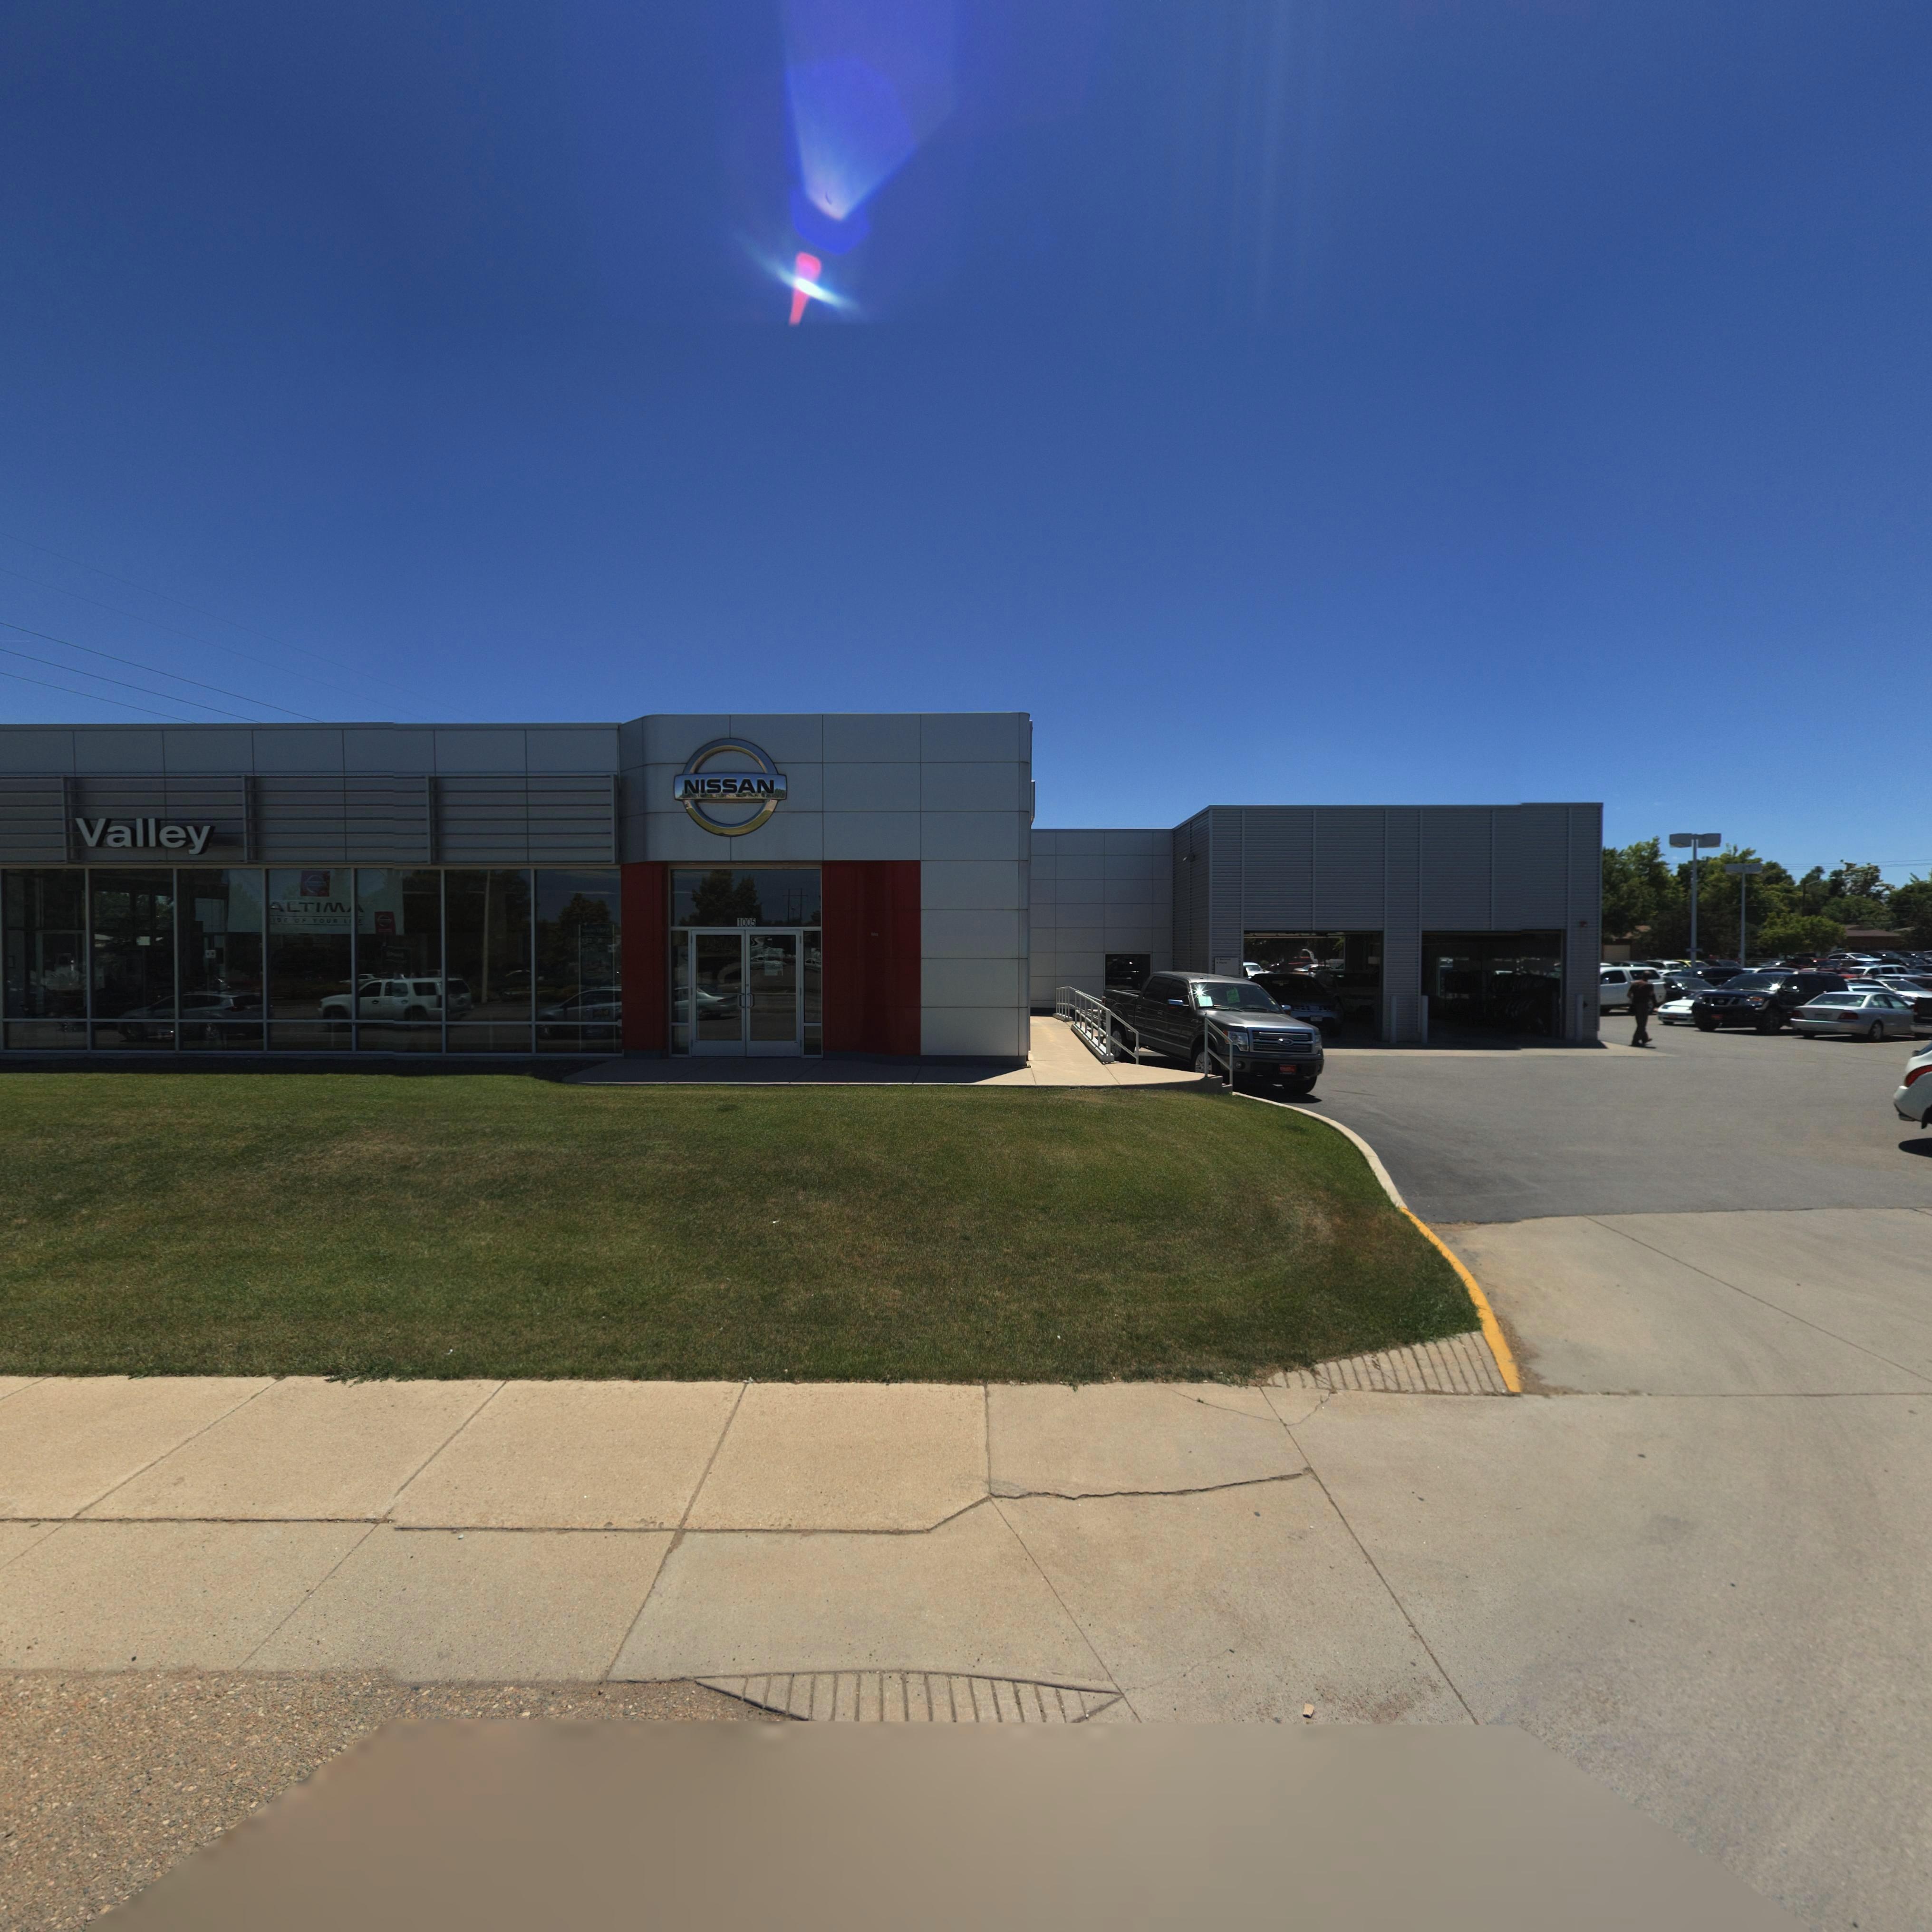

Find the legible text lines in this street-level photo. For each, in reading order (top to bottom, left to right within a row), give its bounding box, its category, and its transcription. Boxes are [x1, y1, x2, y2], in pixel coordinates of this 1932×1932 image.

[73, 817, 211, 854] BusinessName: Valley
[738, 918, 755, 926] StreetNumber: 1005